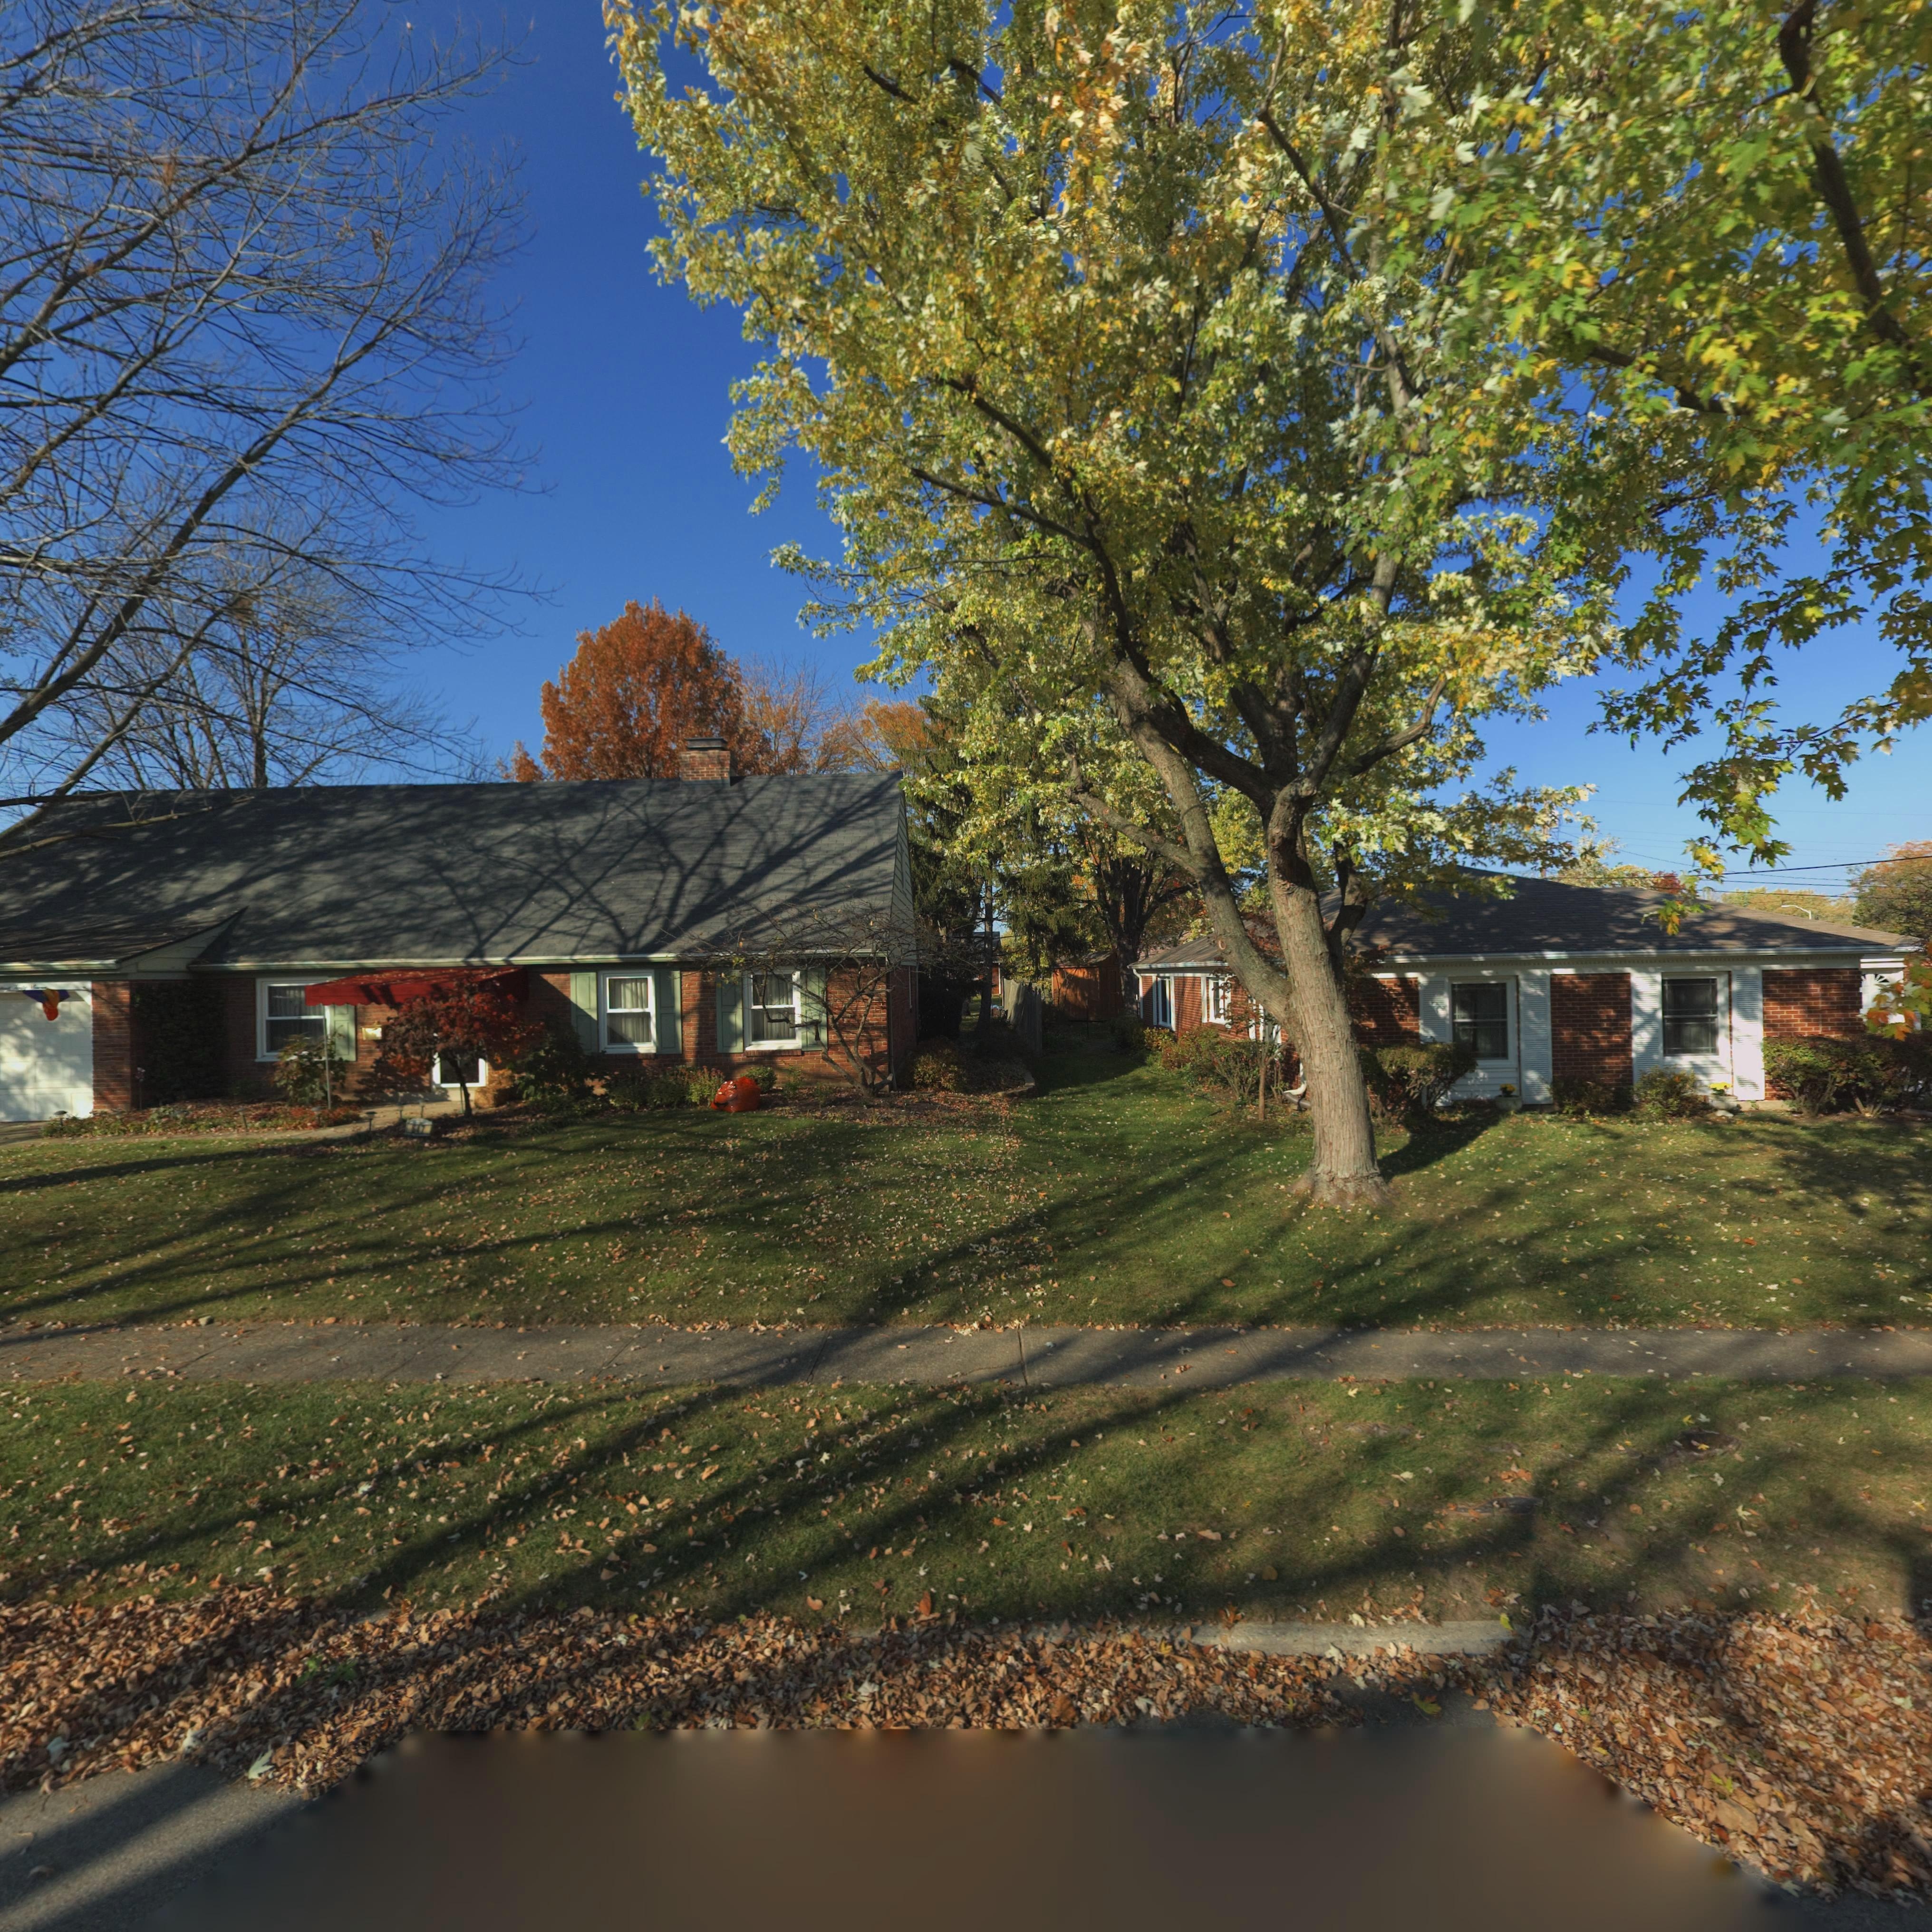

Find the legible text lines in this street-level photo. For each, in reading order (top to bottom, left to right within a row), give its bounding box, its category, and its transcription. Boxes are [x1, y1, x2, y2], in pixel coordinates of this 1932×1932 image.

[411, 1124, 425, 1134] StreetNumber: 647